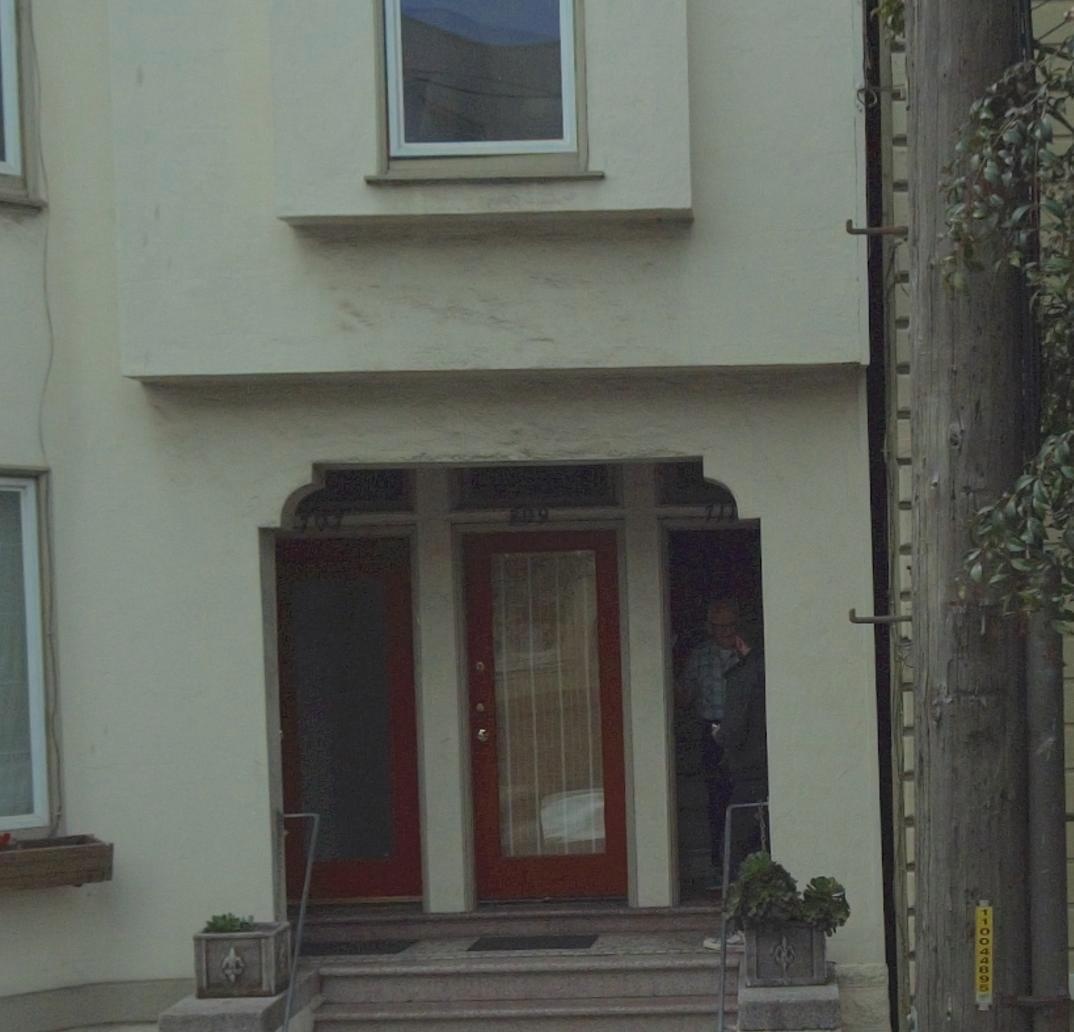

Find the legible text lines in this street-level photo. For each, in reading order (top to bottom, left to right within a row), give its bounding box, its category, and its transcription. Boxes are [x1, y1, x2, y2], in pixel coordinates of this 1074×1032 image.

[297, 510, 344, 532] StreetNumber: 707
[508, 504, 551, 526] StreetNumber: 709
[703, 502, 735, 523] StreetNumber: 711
[978, 906, 989, 992] None: 11004495